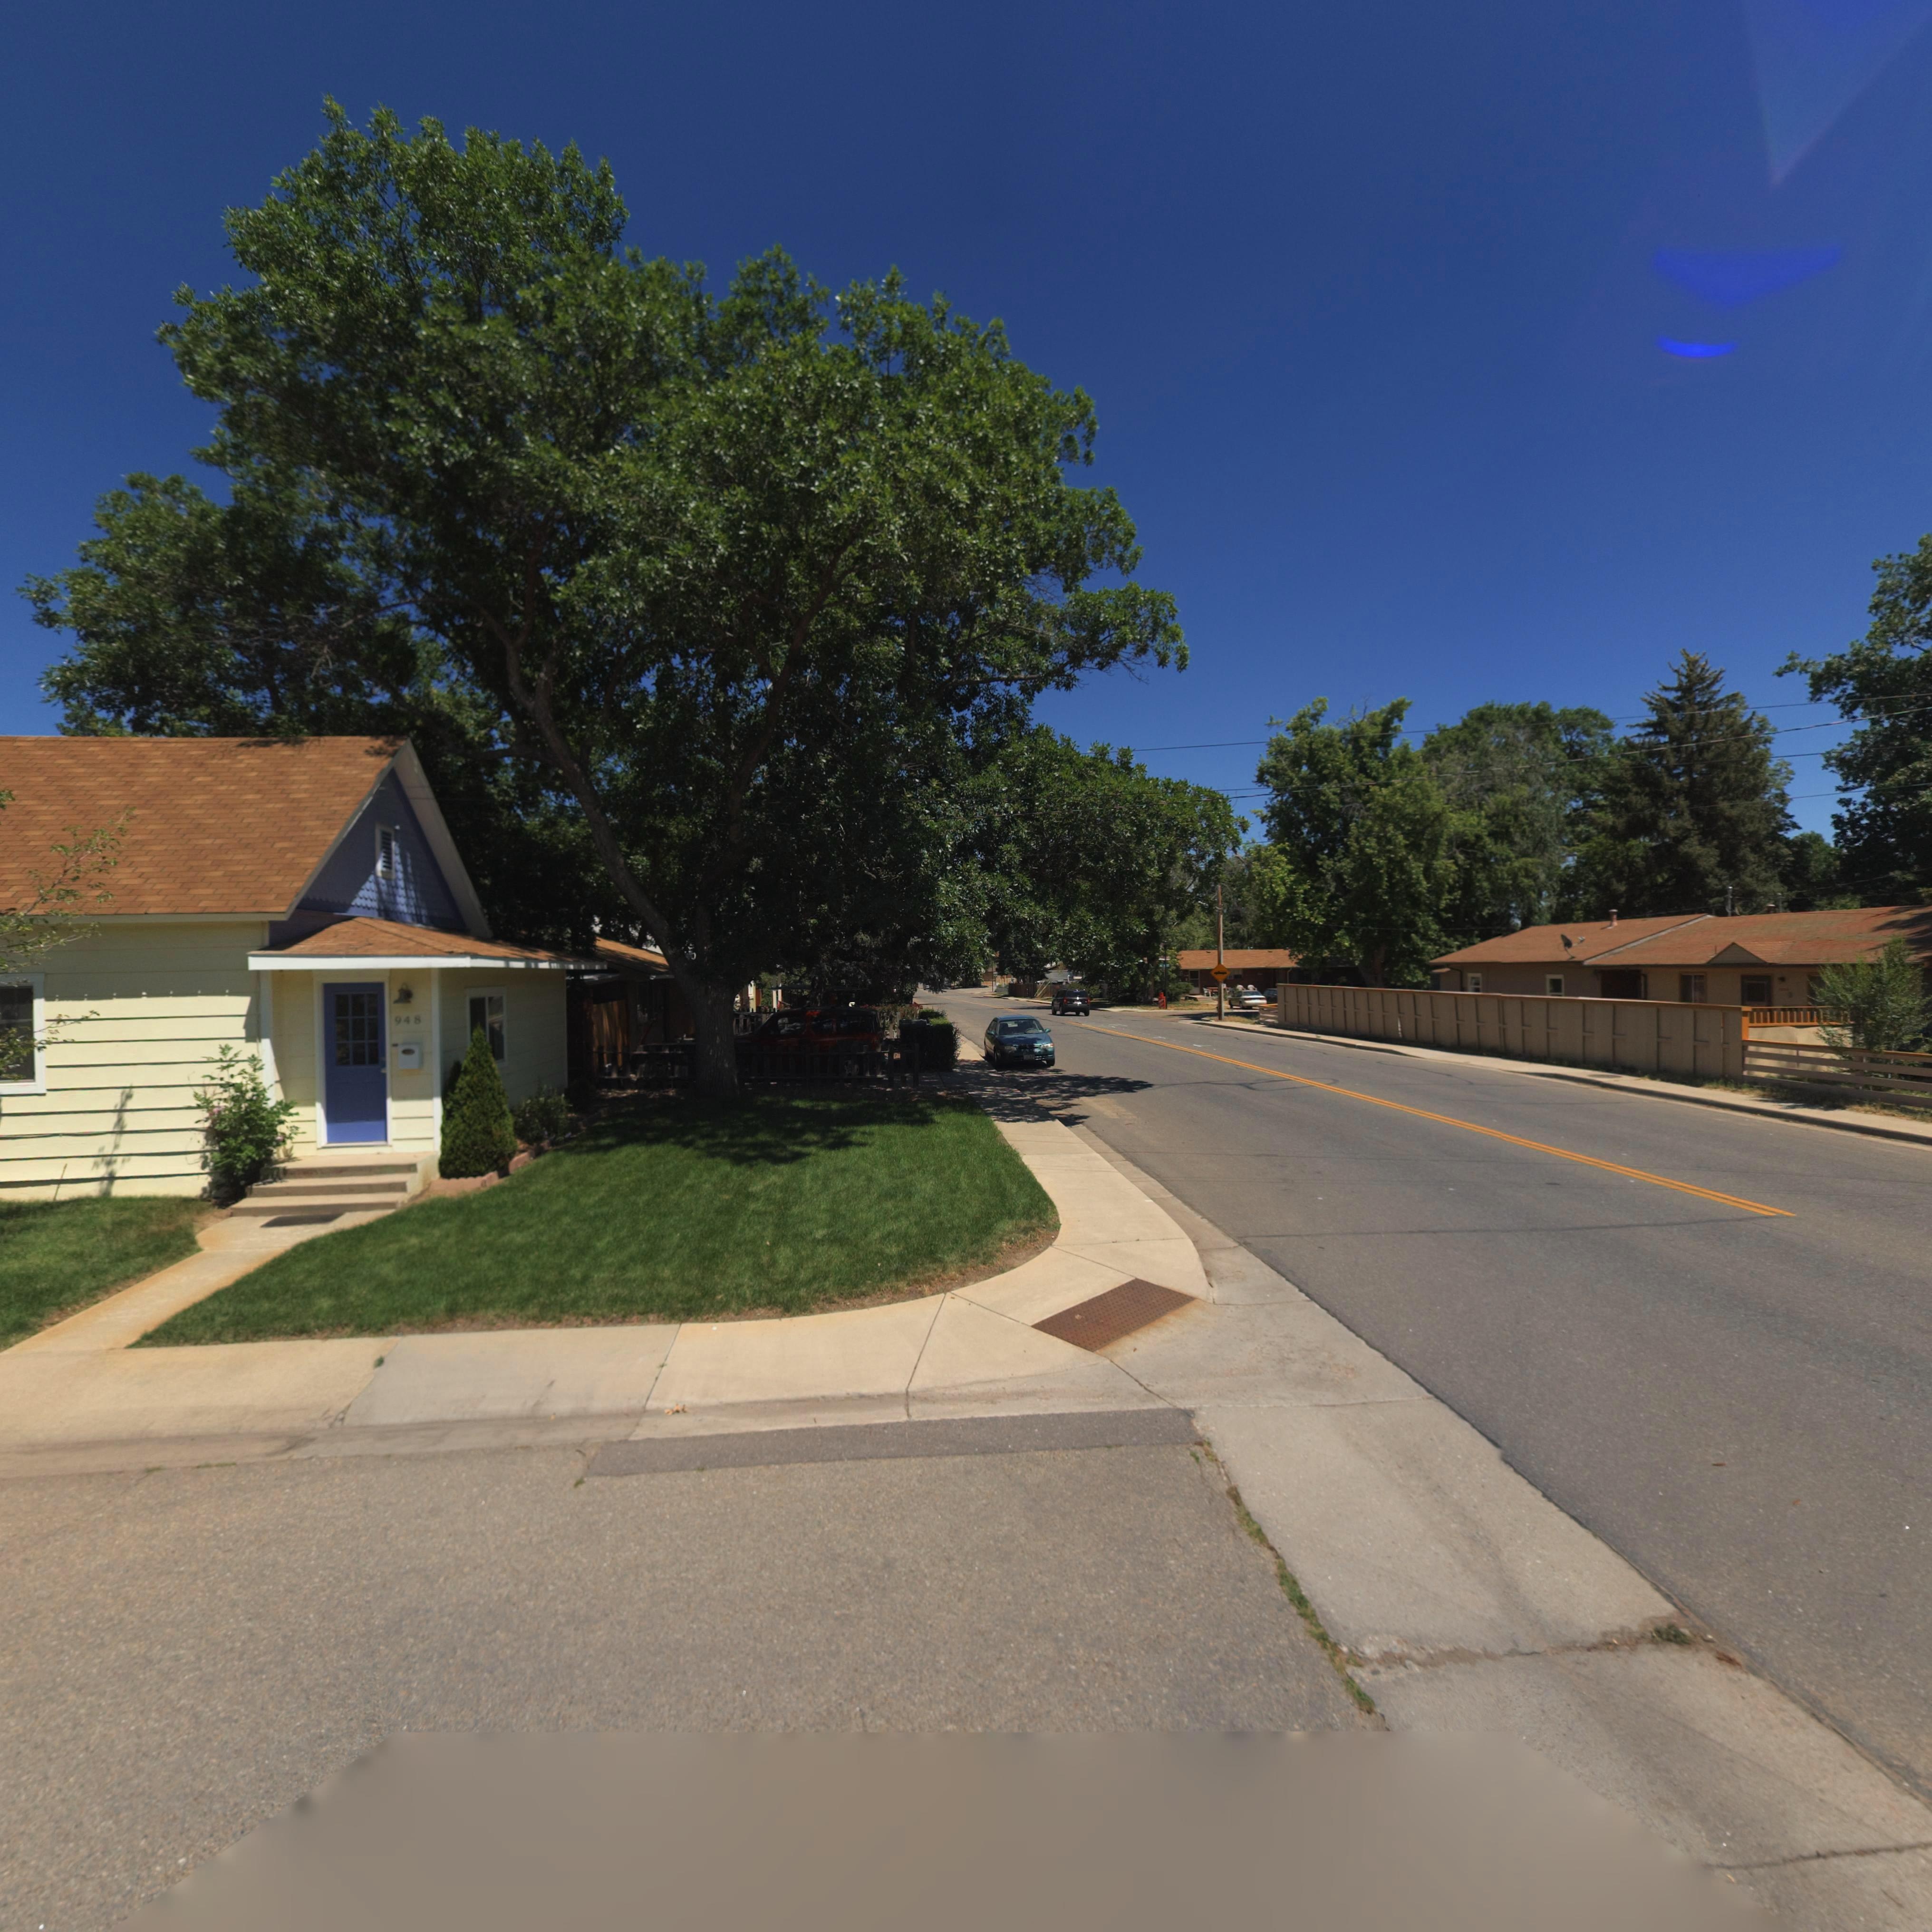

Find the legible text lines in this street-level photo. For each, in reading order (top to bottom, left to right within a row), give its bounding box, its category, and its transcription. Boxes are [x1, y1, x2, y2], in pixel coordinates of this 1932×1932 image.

[394, 1014, 422, 1025] StreetNumber: 948